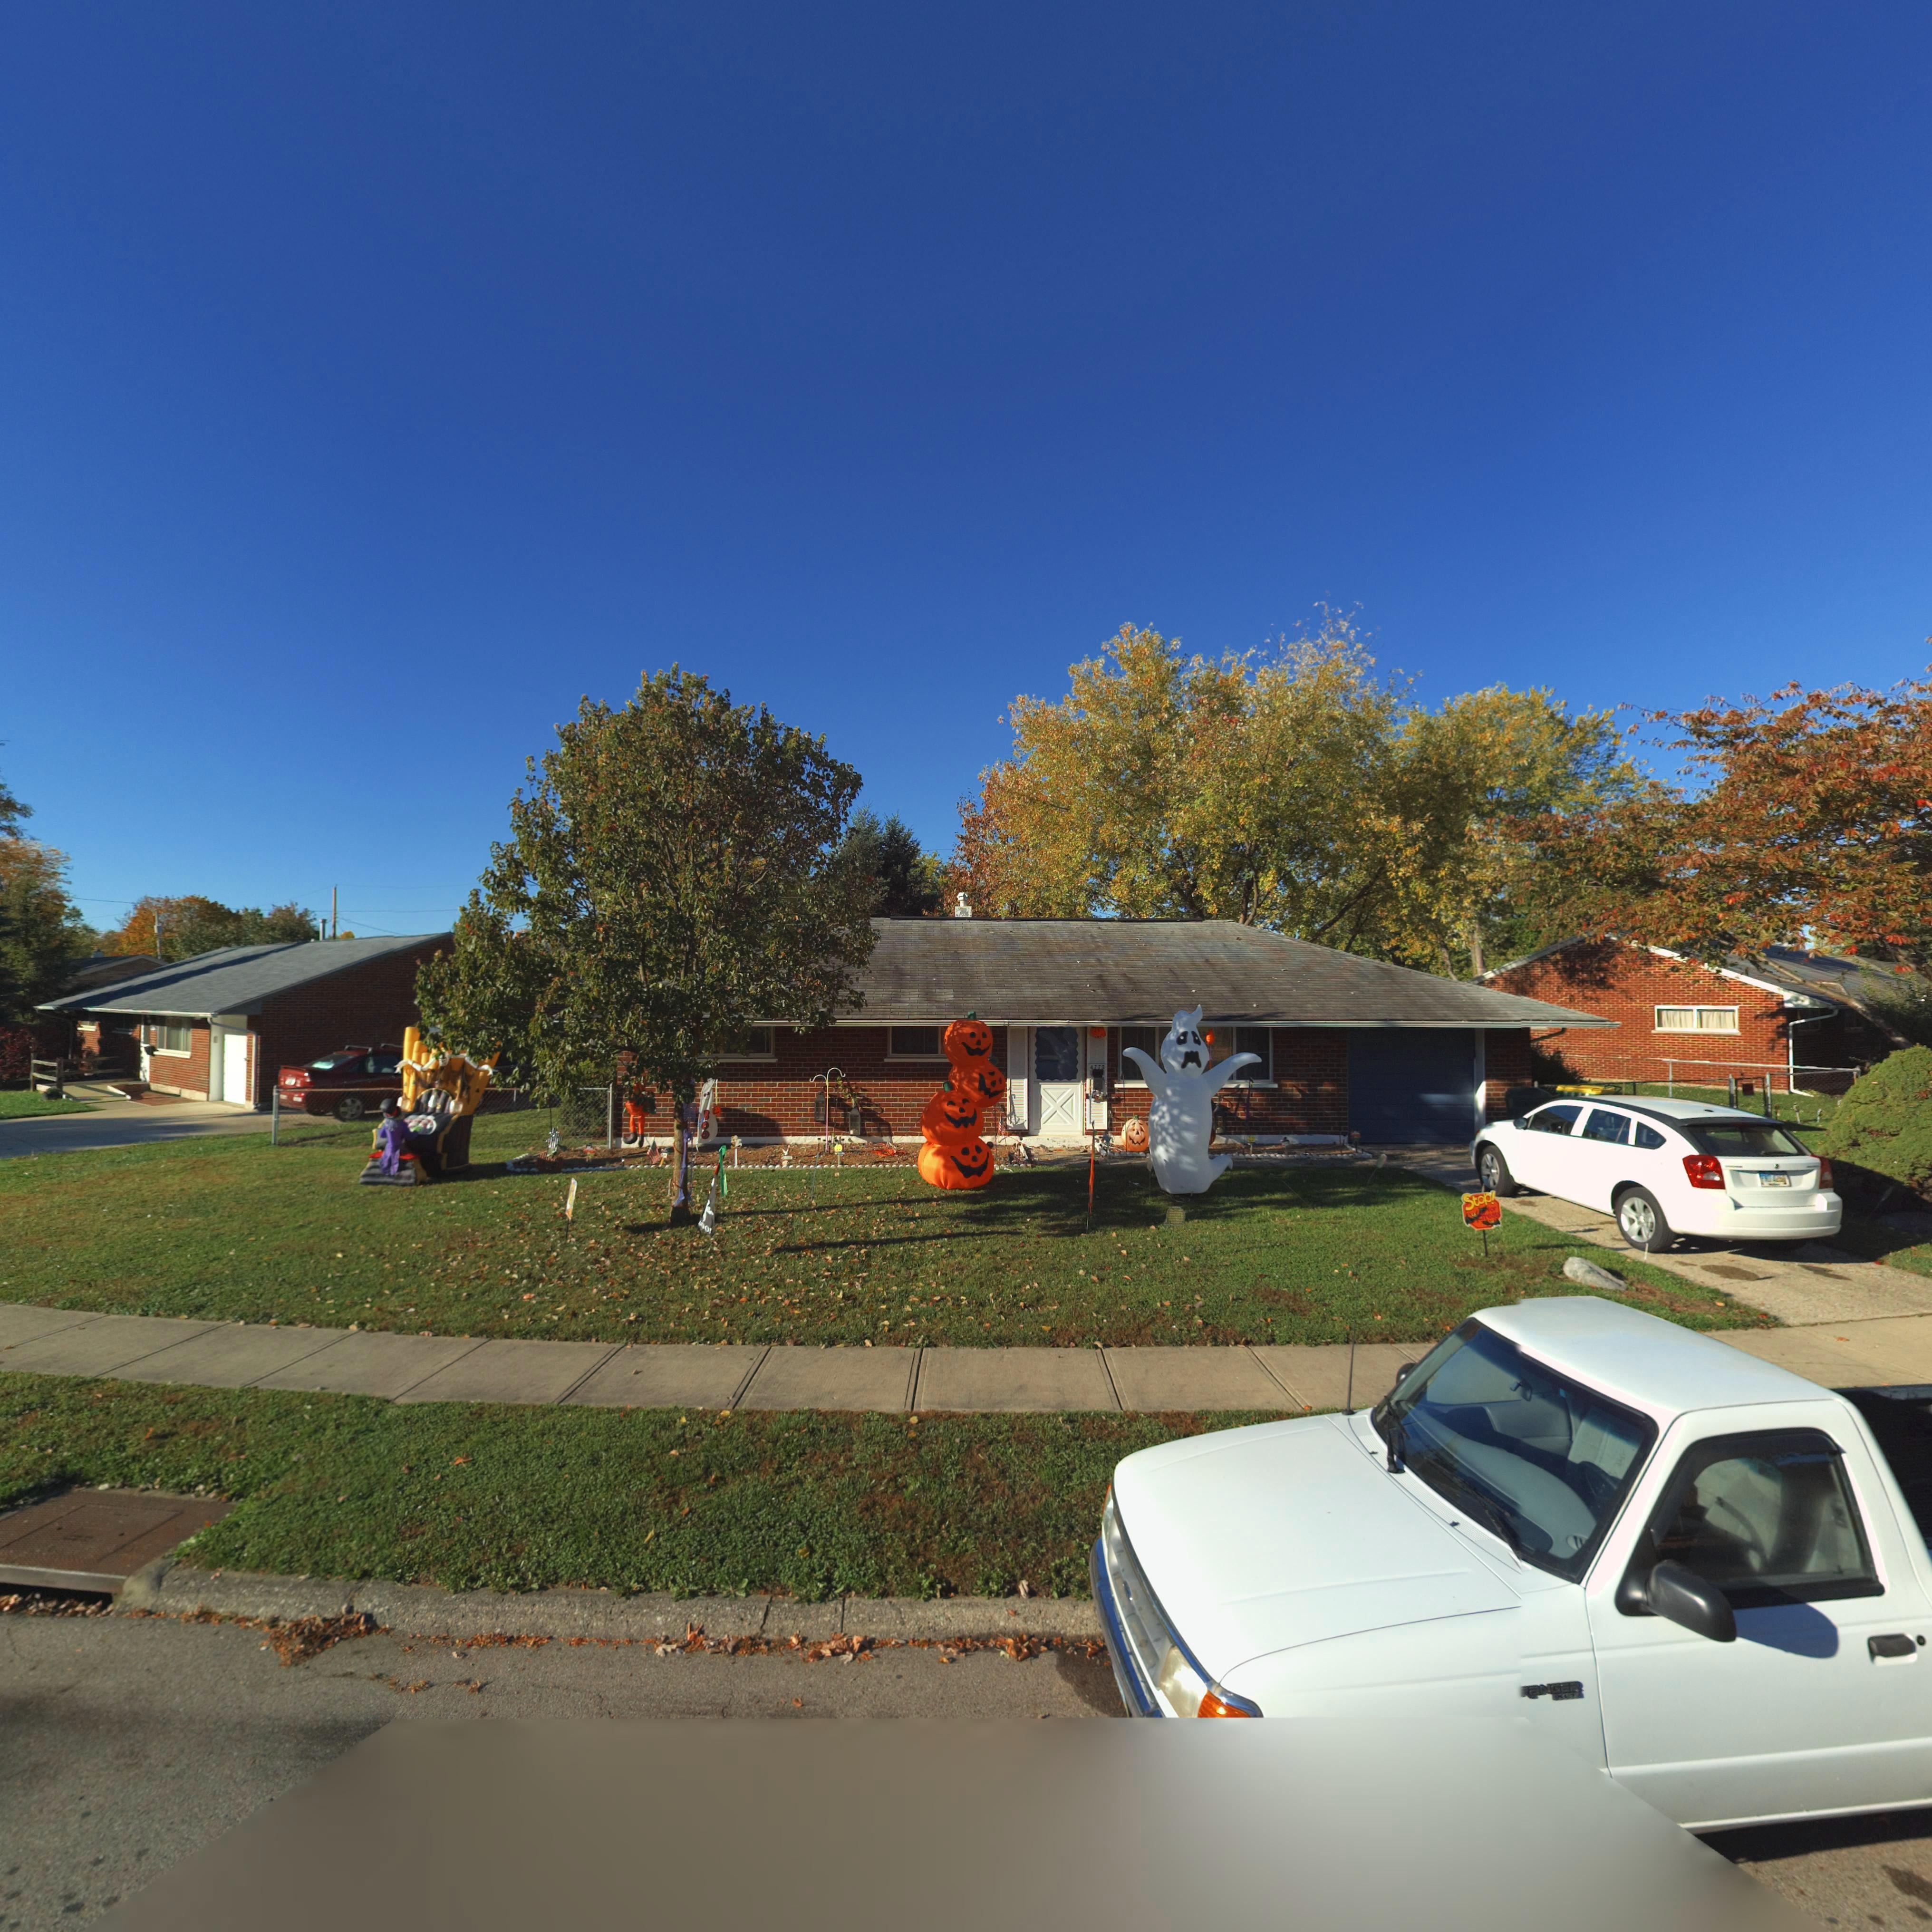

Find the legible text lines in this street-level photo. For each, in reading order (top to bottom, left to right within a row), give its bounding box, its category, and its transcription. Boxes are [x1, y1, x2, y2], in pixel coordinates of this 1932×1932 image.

[1089, 1064, 1105, 1070] StreetNumber: 4770